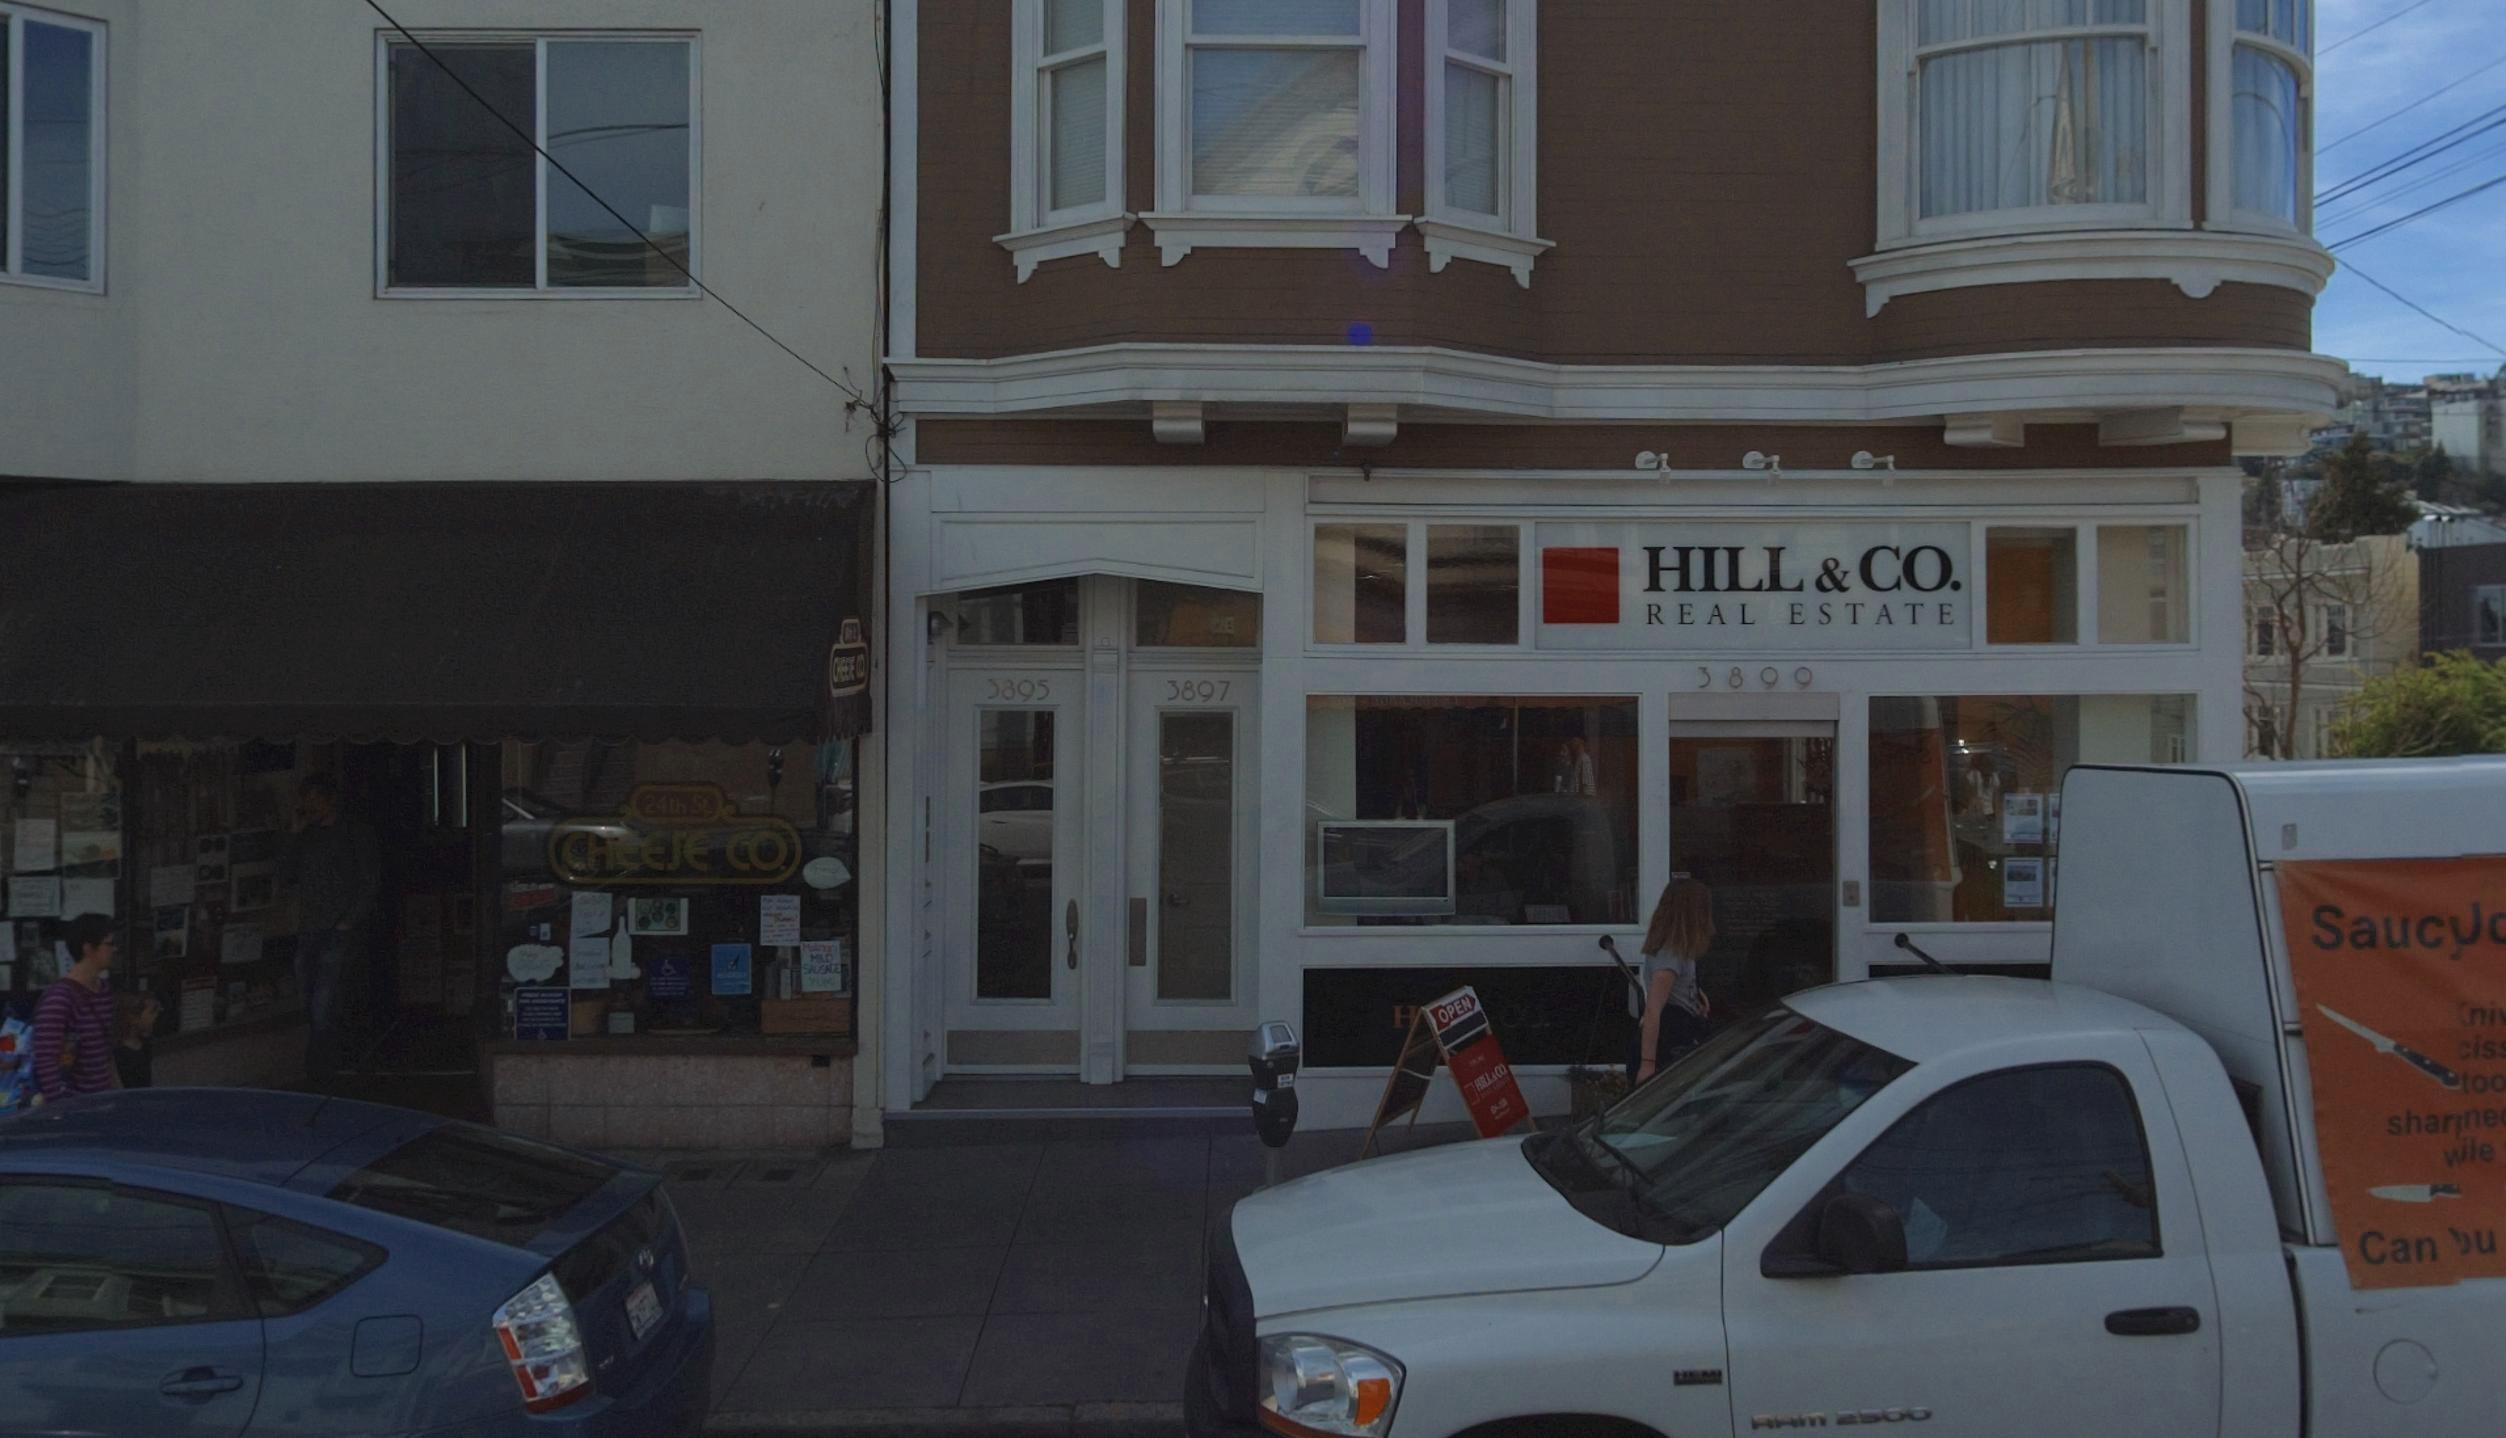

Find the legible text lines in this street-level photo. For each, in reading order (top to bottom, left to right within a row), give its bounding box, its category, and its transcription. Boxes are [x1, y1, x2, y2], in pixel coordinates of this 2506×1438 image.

[1642, 544, 1963, 593] BusinessName: HILL & CO.
[1645, 601, 1955, 626] BusinessName: REAL ESTATE
[831, 651, 866, 687] BusinessName: CHEE*E *O
[987, 678, 1050, 702] StreetNumber: 3895
[1164, 679, 1232, 703] StreetNumber: 3897
[1698, 665, 1814, 690] StreetNumber: 3899
[640, 792, 715, 817] BusinessName: 24th St.
[559, 828, 789, 875] BusinessName: CHEESE CO.
[2311, 902, 2446, 954] None: Sauc
[803, 962, 827, 976] None: SAUS
[809, 952, 834, 963] None: MILD
[808, 975, 835, 990] None: YUM!\
[1434, 995, 1474, 1027] None: OPEN
[2468, 996, 2498, 1030] None: ni
[2456, 1032, 2499, 1062] None: cis
[1471, 1060, 1510, 1094] None: HILL & CO
[2460, 1070, 2506, 1098] None: too
[2386, 1106, 2499, 1139] None: shar*ne
[2442, 1135, 2495, 1171] None: wle
[2355, 1220, 2500, 1278] None: Can*u
[1673, 1369, 1723, 1380] None: HEMI
[1749, 1404, 1935, 1432] None: RAM 2500